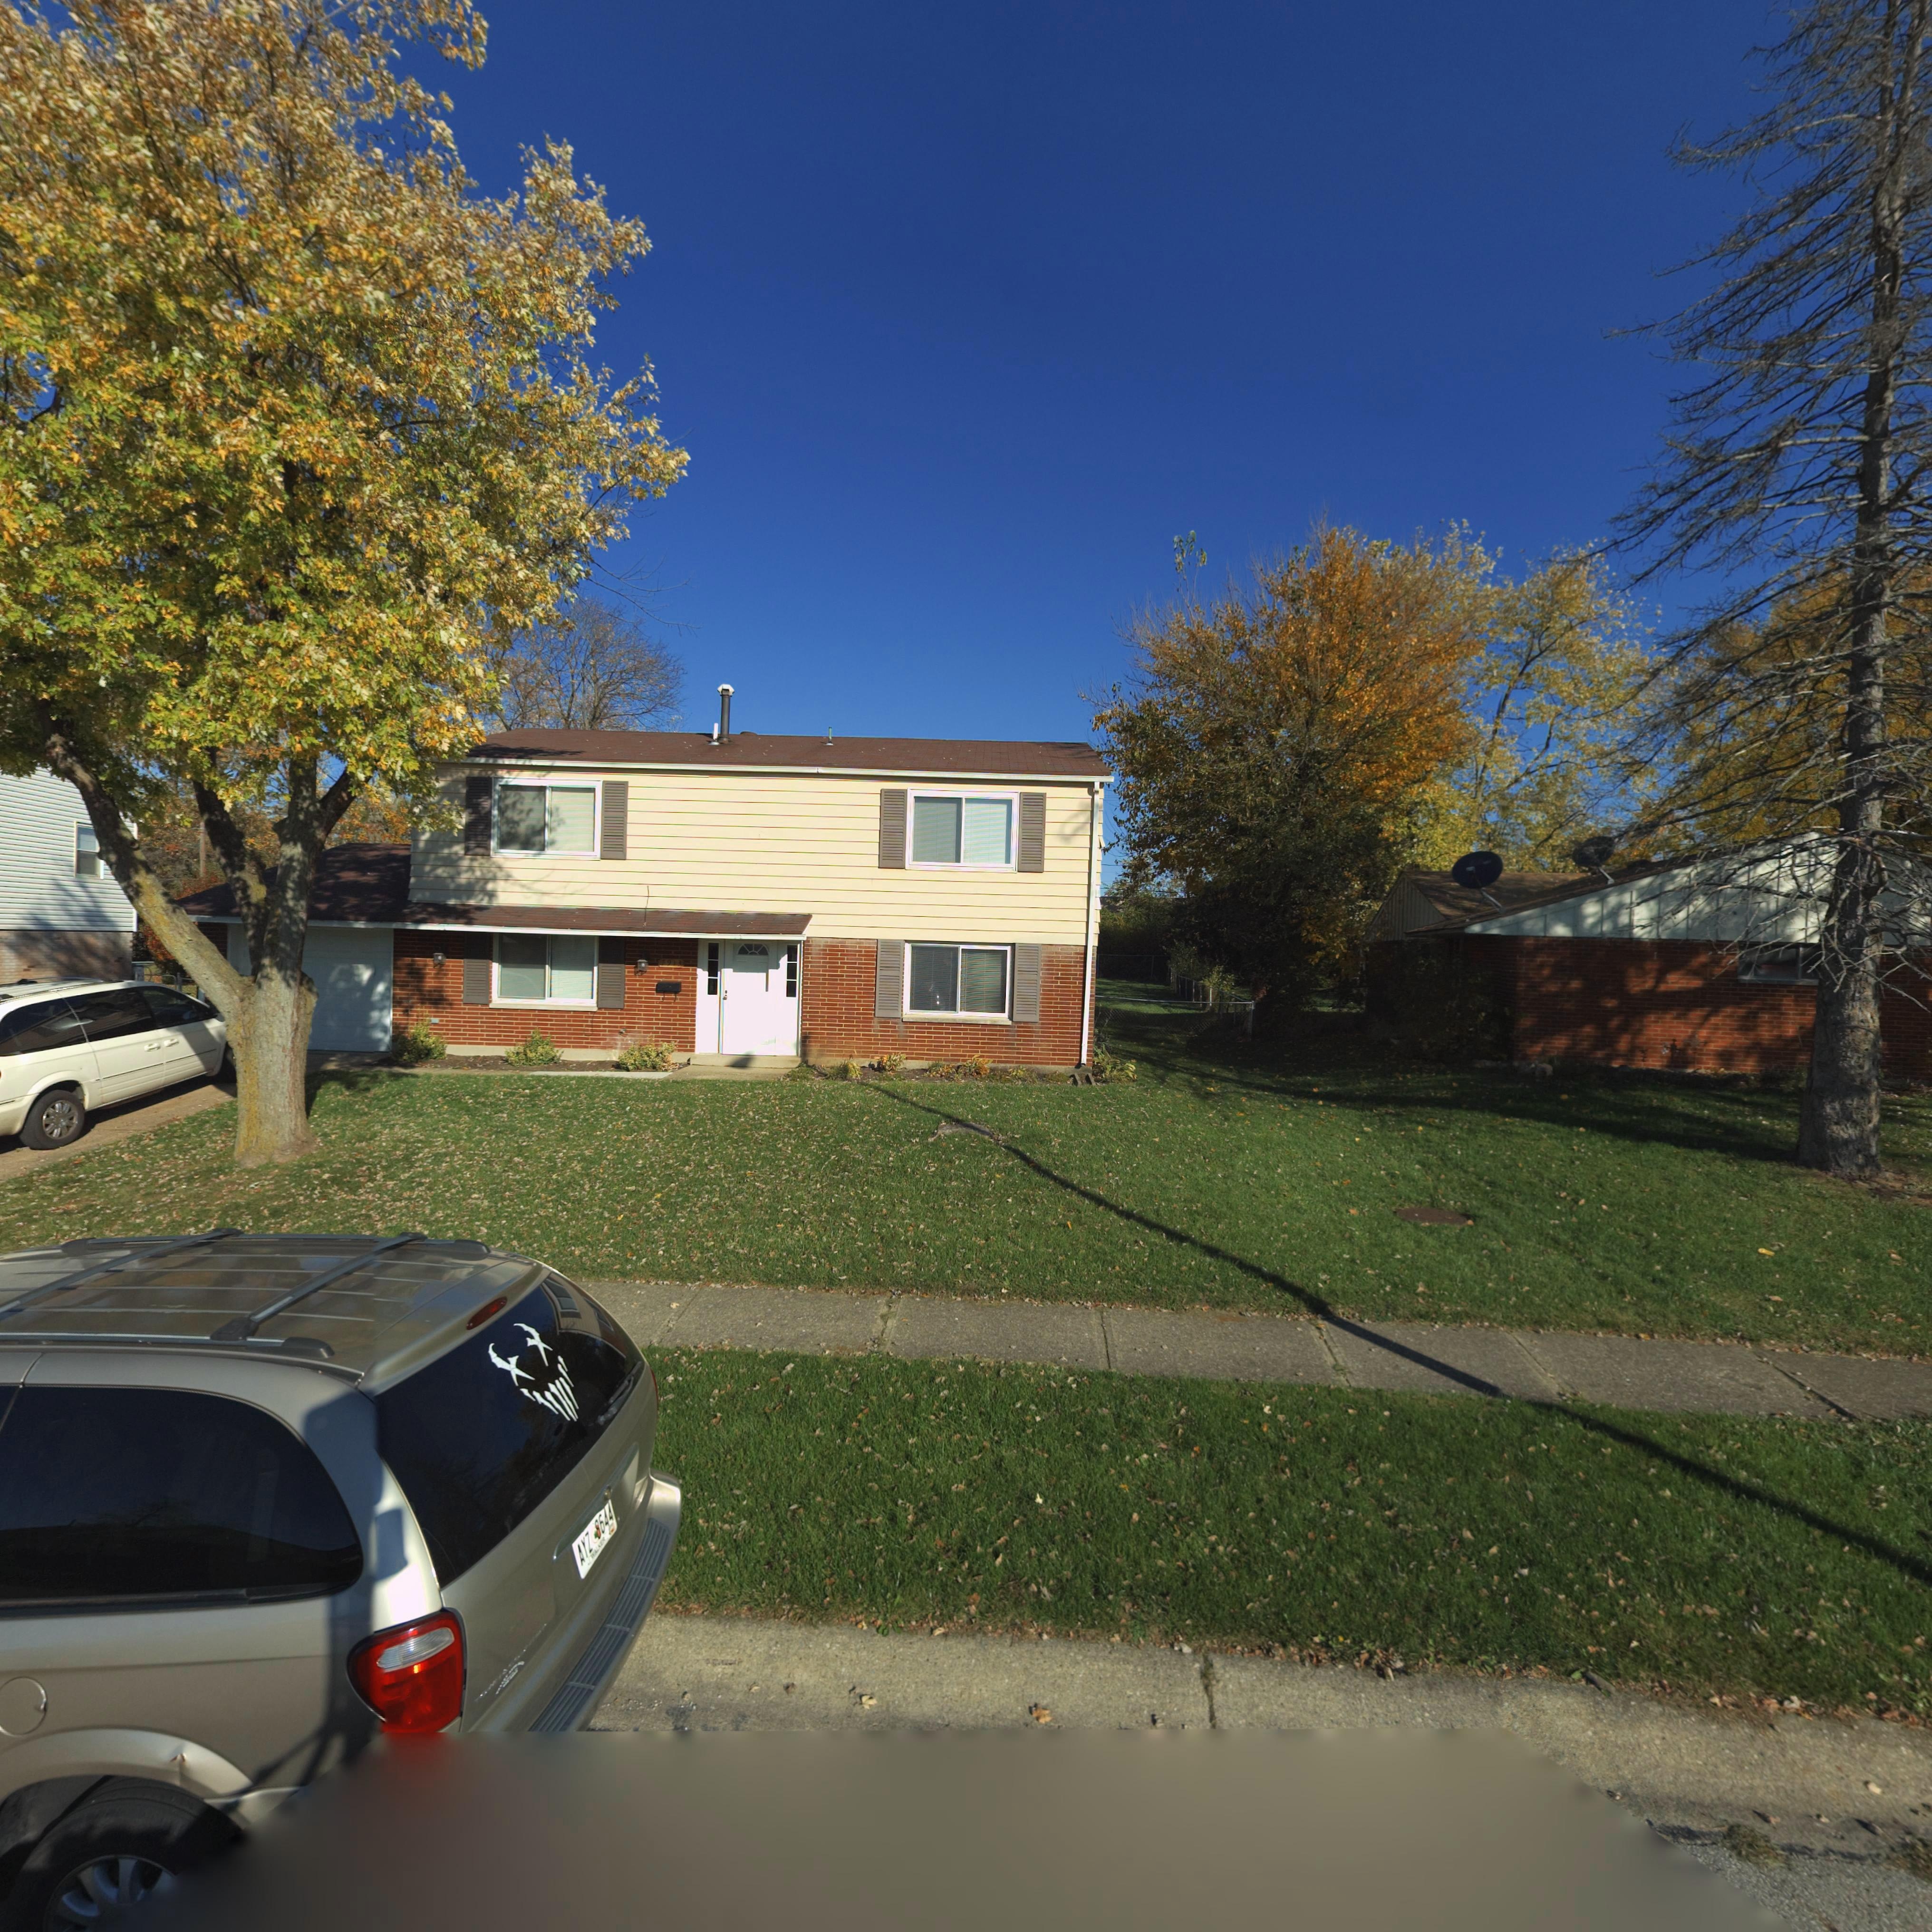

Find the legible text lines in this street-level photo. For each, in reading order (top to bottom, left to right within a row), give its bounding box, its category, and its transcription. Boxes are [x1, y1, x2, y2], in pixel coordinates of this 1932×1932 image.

[661, 958, 682, 966] StreetNumber: 7913